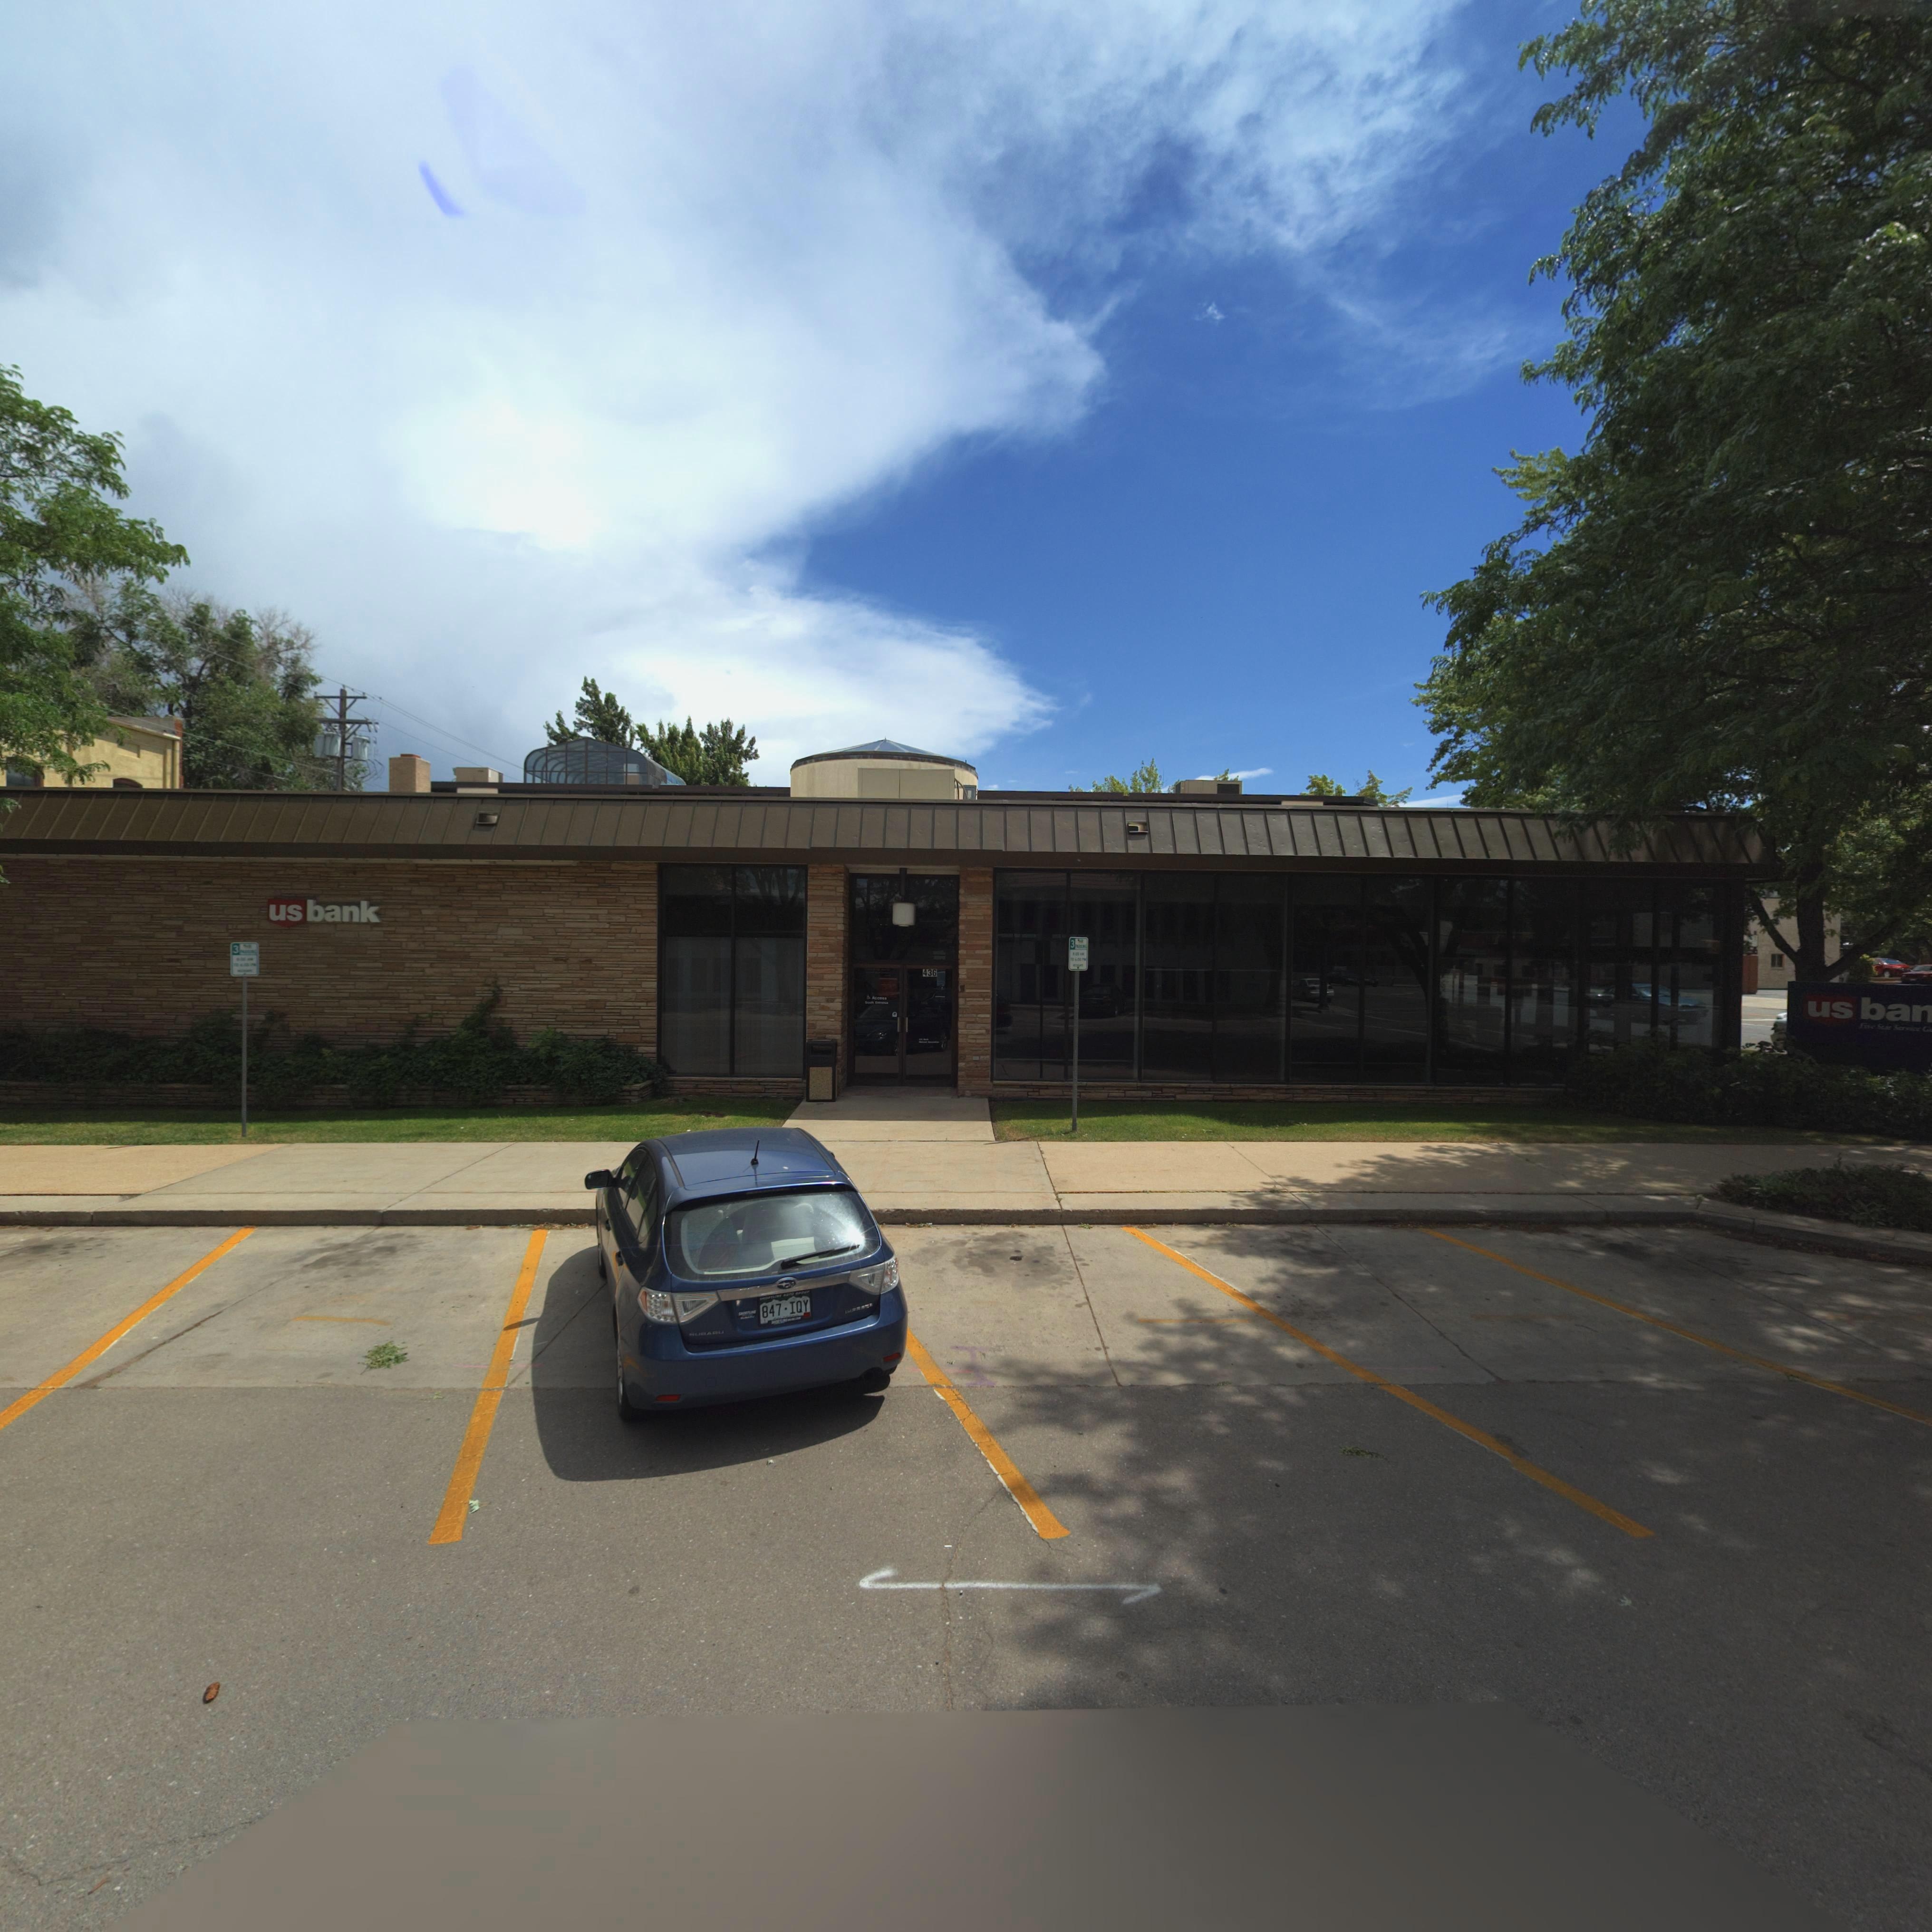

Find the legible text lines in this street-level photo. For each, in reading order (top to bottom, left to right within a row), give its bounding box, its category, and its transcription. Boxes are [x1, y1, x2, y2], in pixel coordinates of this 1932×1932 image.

[268, 899, 380, 922] BusinessName: usbank
[923, 969, 936, 976] StreetNumber: 436
[1807, 996, 1911, 1022] BusinessName: usba